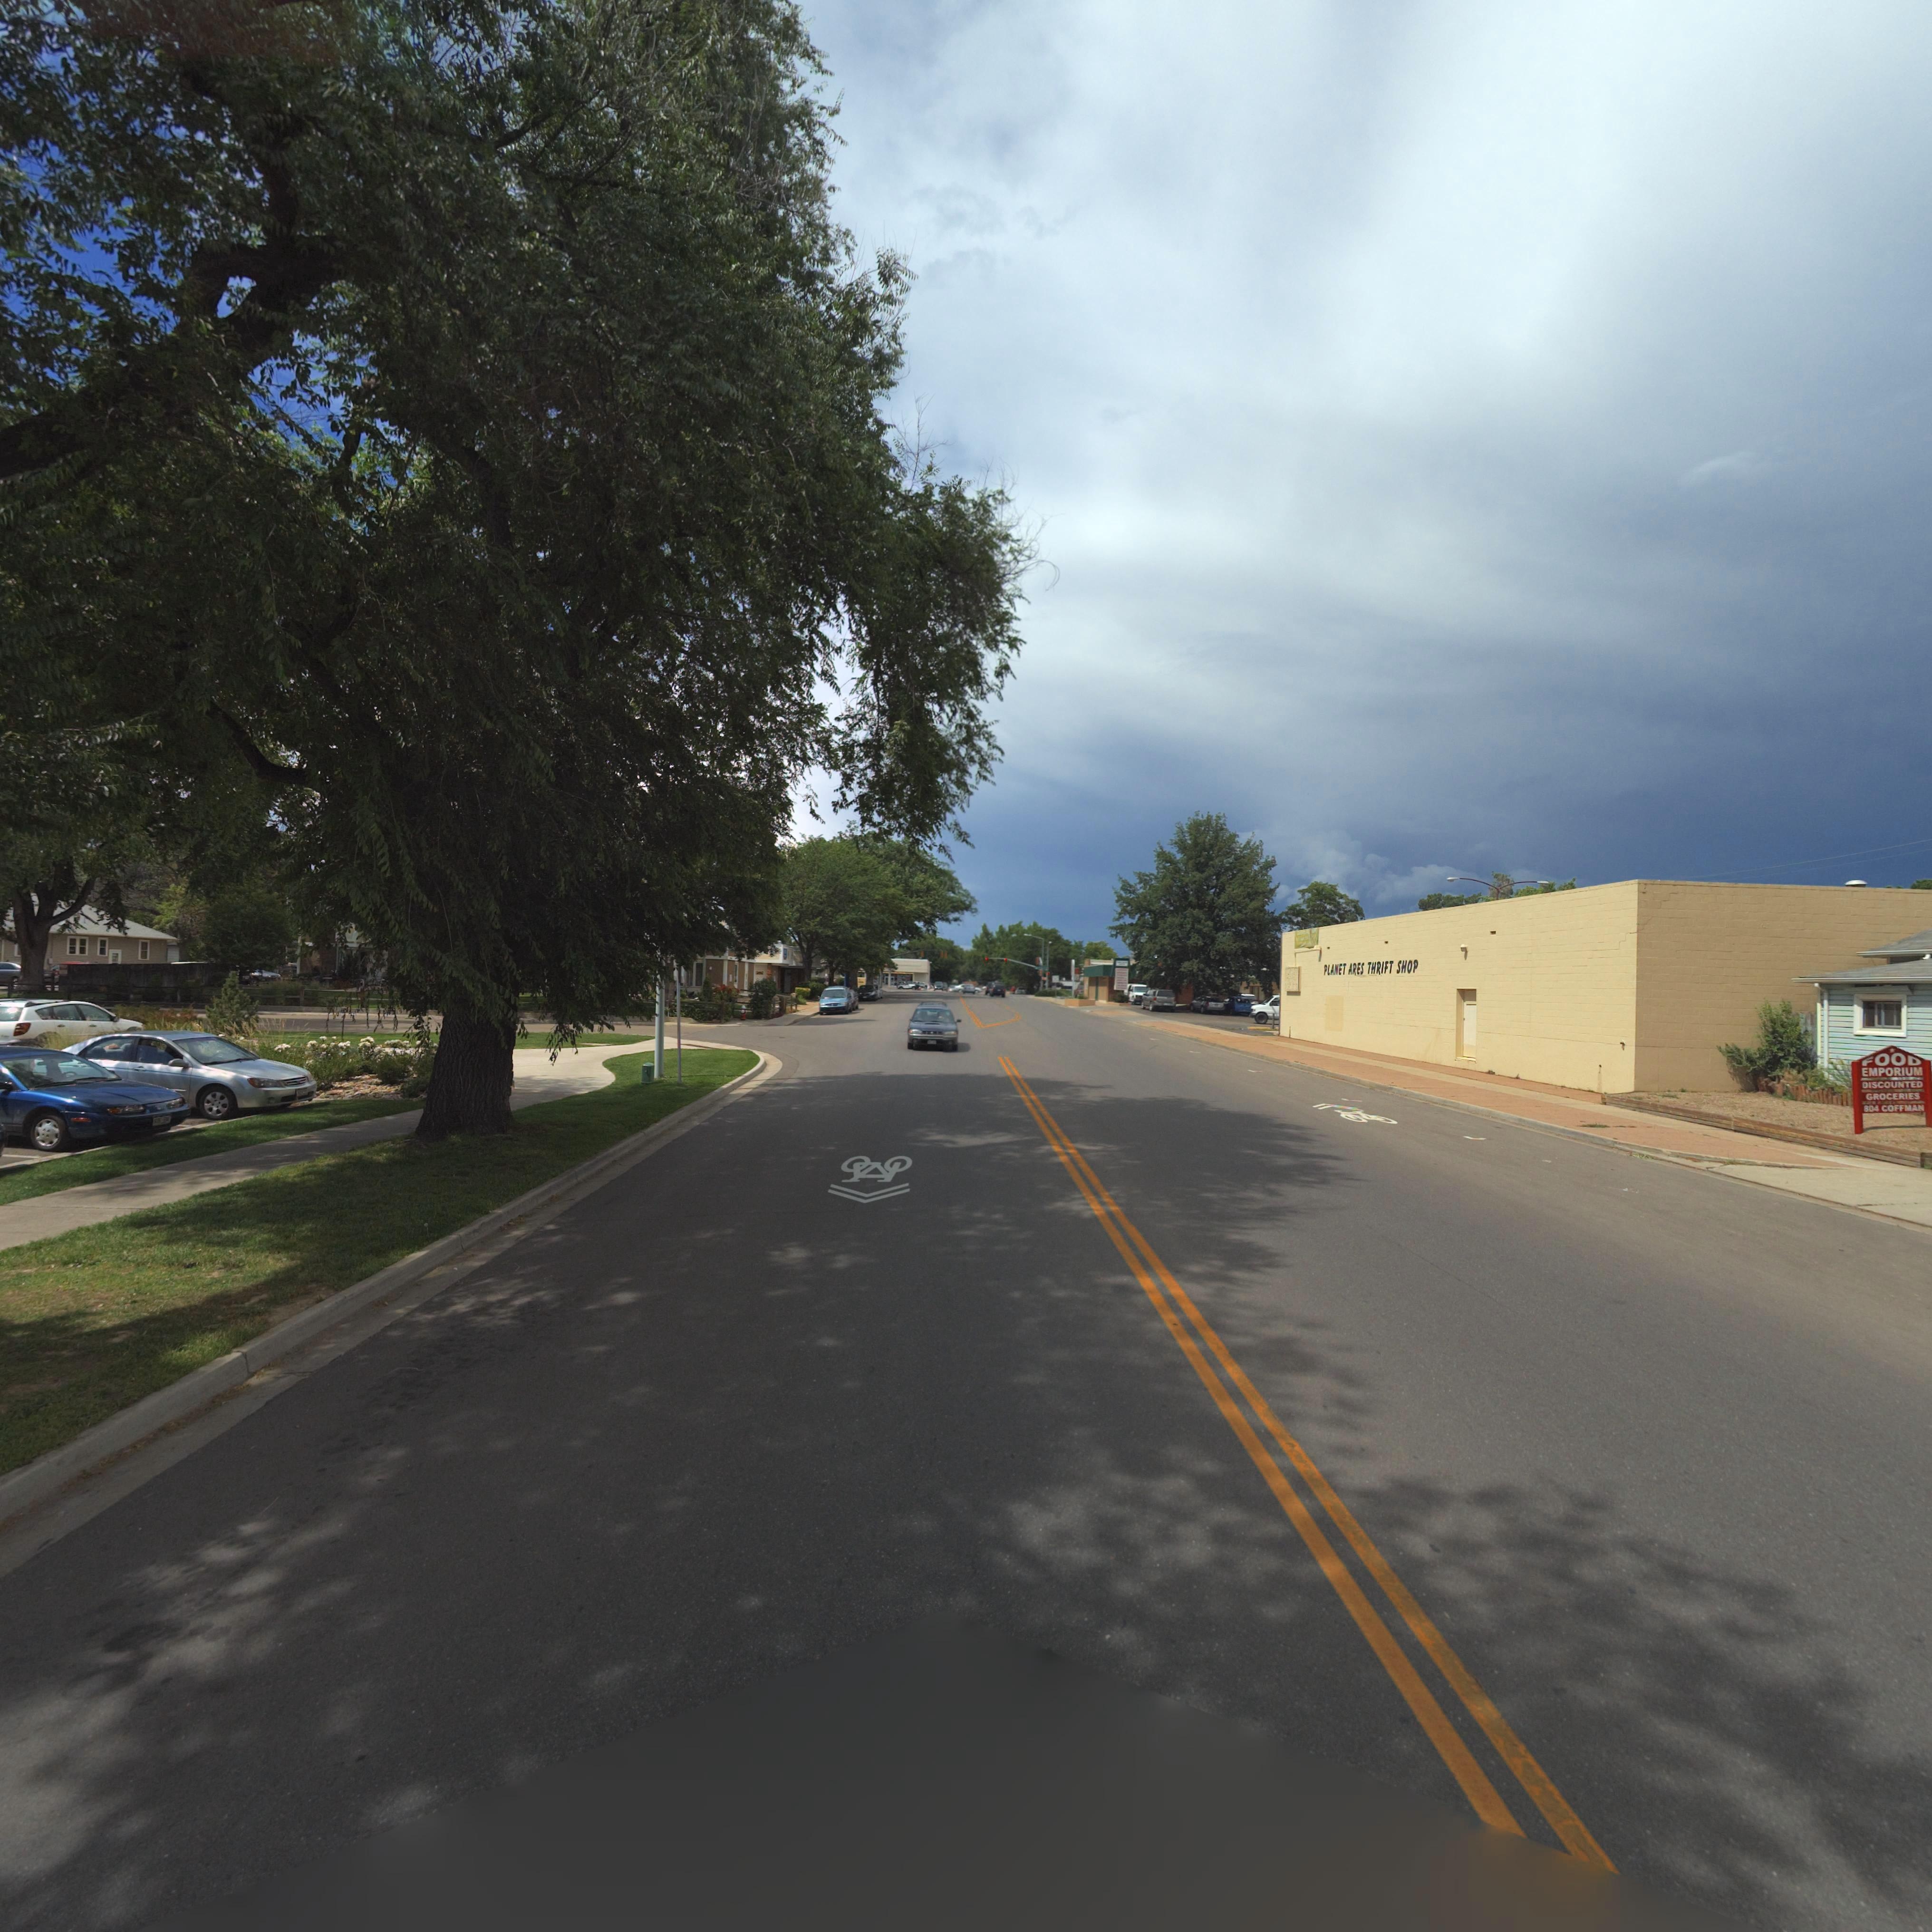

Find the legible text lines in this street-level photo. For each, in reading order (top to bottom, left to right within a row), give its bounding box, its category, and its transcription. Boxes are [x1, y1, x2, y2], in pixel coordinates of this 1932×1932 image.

[1323, 959, 1419, 976] BusinessName: PLANET ARES THRIFT SHOP
[1861, 1052, 1922, 1066] BusinessName: FOOD
[1862, 1066, 1923, 1077] BusinessName: EMPORIUM
[1863, 1104, 1879, 1112] StreetNumber: 804
[1881, 1103, 1924, 1112] StreetName: COFFMAN